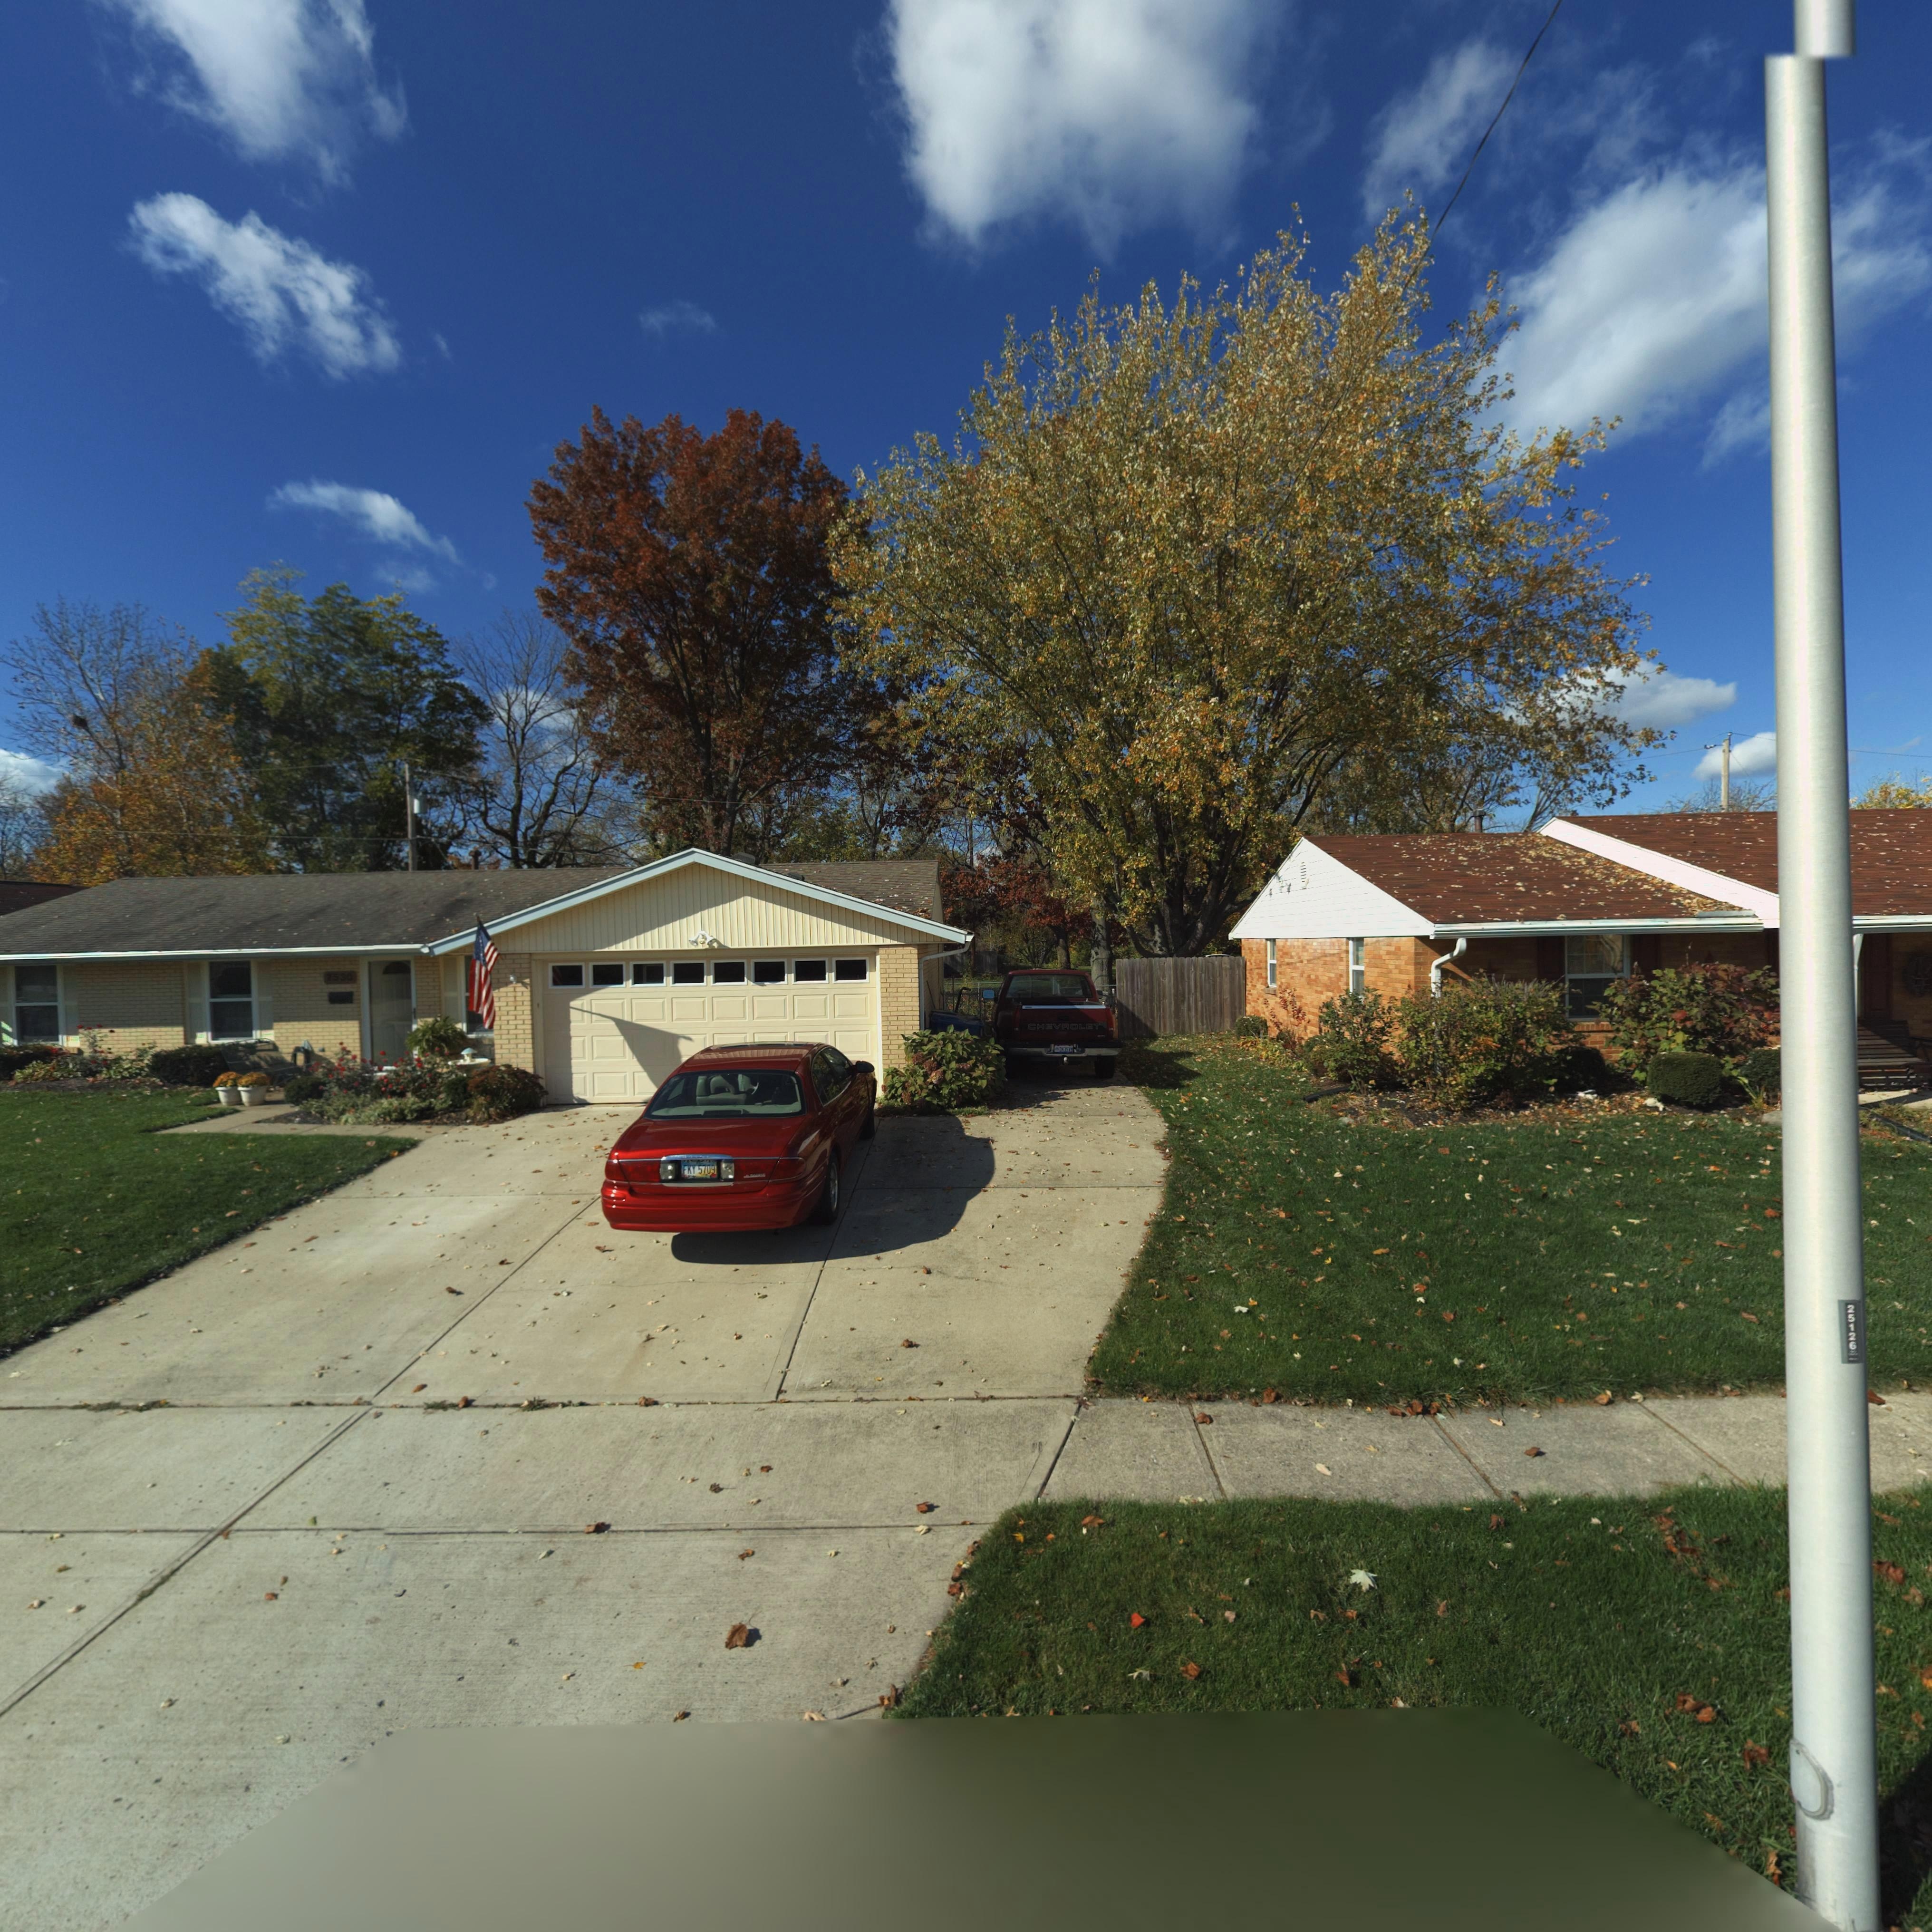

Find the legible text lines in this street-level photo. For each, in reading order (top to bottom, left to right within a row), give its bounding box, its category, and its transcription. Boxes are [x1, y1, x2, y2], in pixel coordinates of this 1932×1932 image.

[326, 971, 355, 983] StreetNumber: 7530